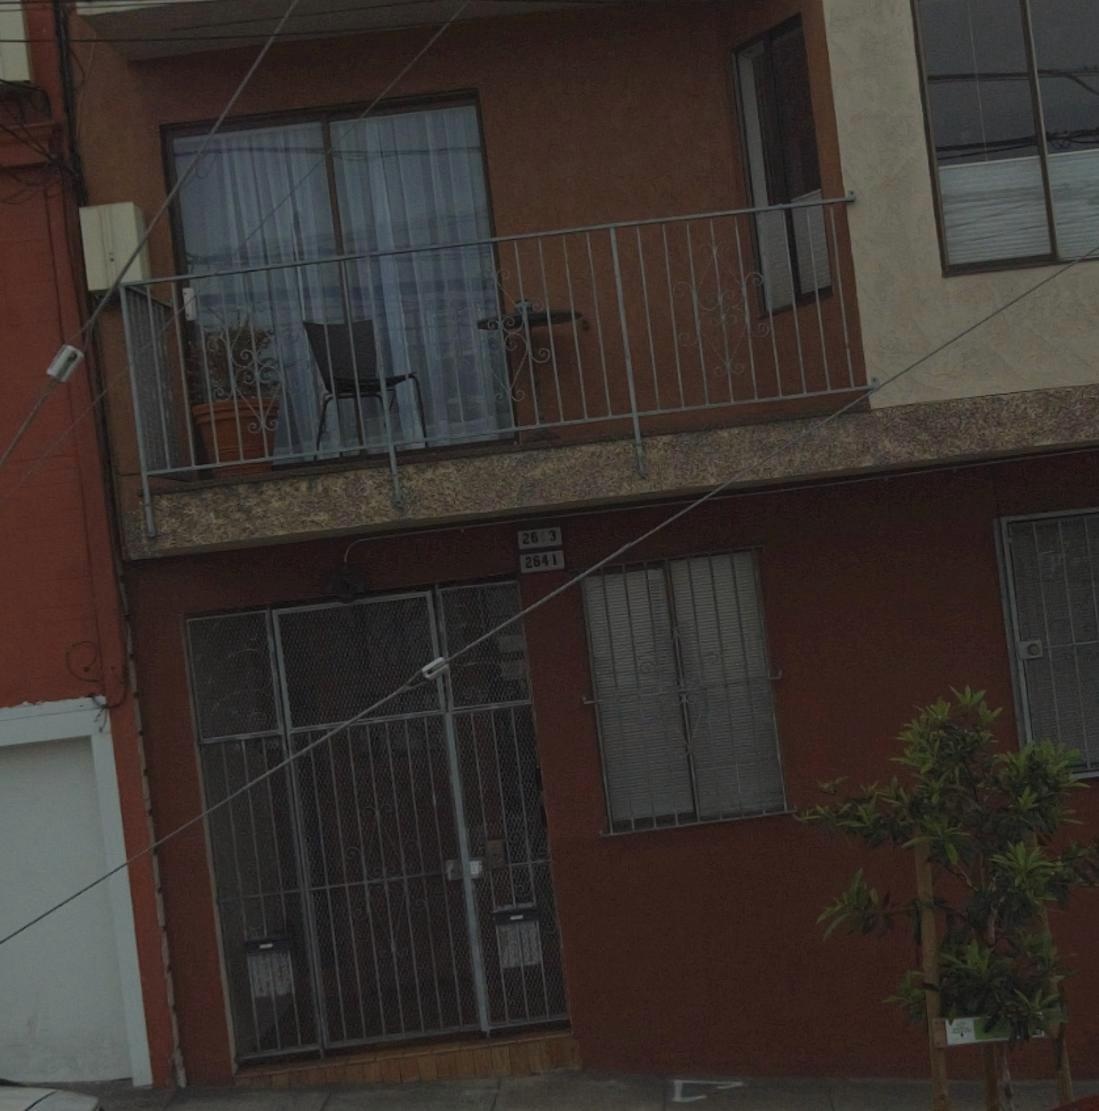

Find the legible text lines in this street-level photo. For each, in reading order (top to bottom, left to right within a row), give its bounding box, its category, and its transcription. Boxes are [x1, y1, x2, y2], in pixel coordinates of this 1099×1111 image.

[521, 528, 559, 546] StreetNumber: 26*3
[523, 551, 559, 570] StreetNumber: 2641